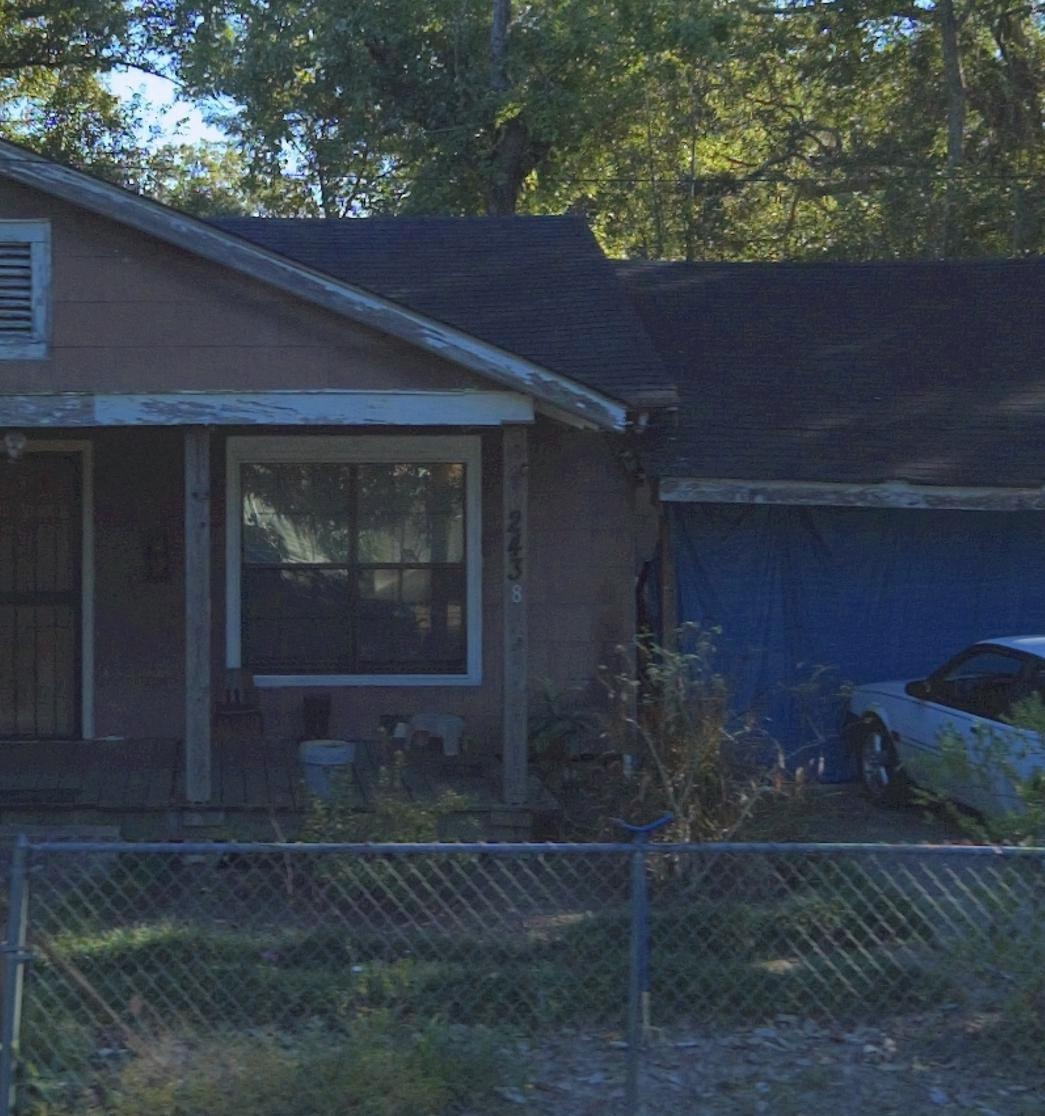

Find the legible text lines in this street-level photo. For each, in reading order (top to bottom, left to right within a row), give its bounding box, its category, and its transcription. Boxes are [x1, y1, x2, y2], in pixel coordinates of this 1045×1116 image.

[505, 508, 526, 604] StreetNumber: 2438